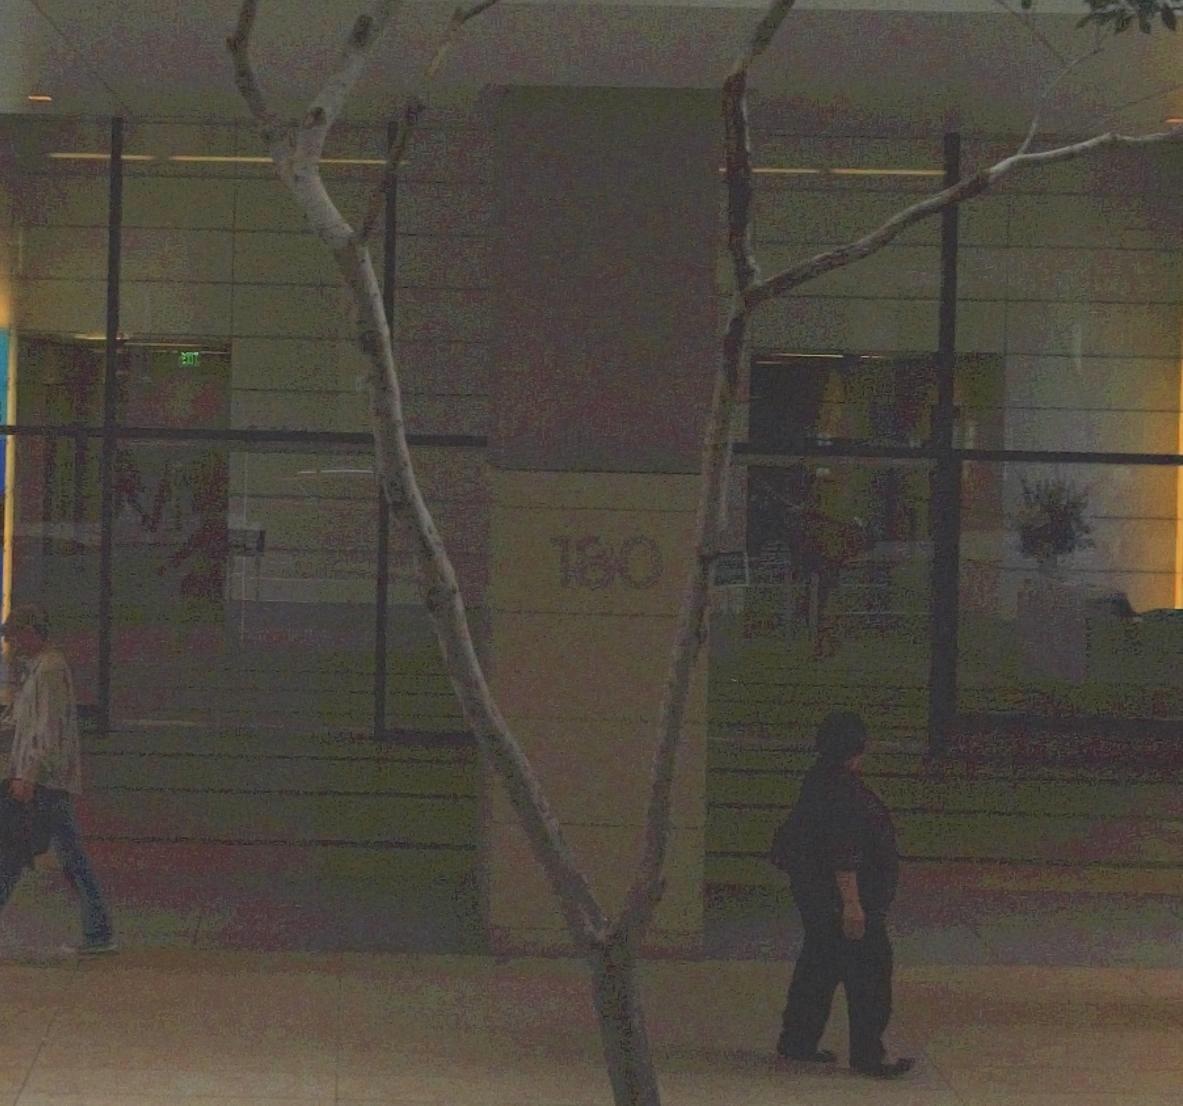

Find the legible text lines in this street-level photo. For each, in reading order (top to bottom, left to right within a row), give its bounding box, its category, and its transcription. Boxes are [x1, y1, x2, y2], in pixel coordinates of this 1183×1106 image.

[549, 533, 664, 591] StreetNumber: 180